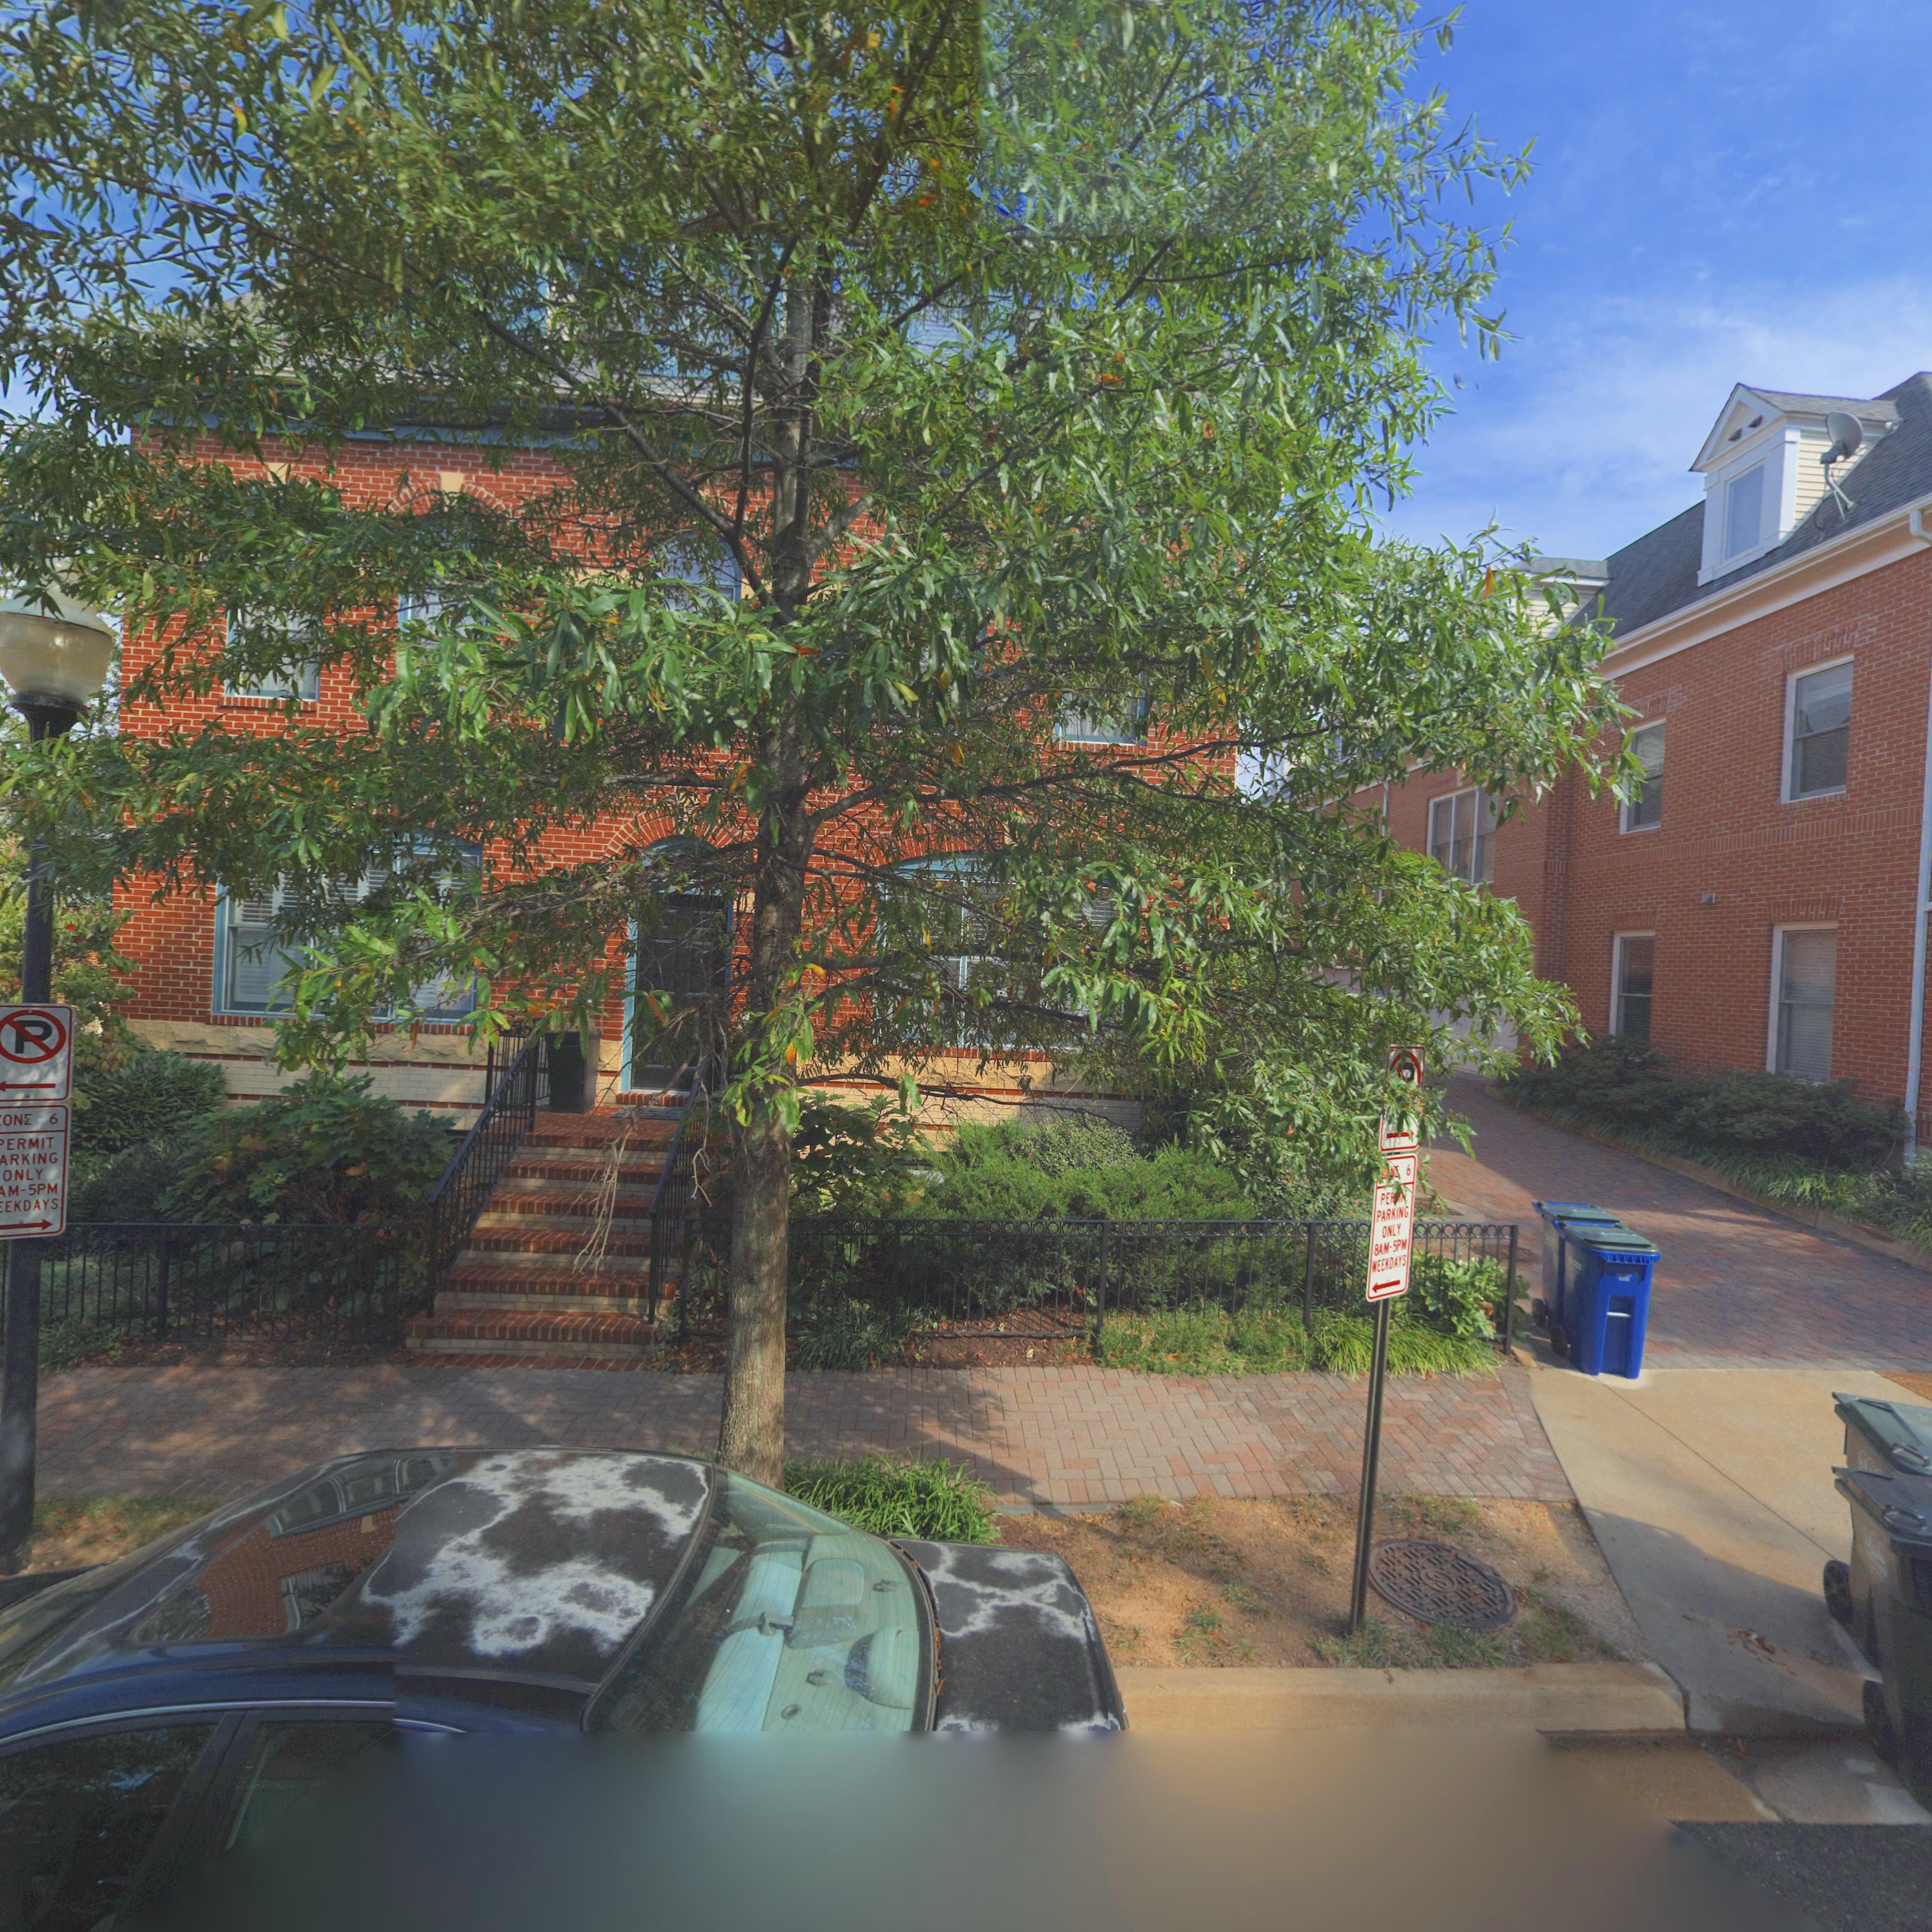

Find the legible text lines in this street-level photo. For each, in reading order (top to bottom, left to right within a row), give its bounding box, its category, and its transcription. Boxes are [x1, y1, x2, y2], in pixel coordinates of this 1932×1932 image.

[1, 1111, 60, 1128] None: ON* 6
[6, 1135, 55, 1151] None: ERMIT
[9, 1150, 59, 1167] None: RKING
[1, 1166, 45, 1183] None: ONLY
[1404, 1161, 1412, 1178] None: 6
[7, 1181, 58, 1198] None: M-5PM
[4, 1196, 60, 1214] None: EKDAYS
[1379, 1190, 1391, 1207] None: PE
[1375, 1204, 1410, 1224] None: PARKING
[1381, 1221, 1403, 1239] None: ONLY
[1372, 1236, 1409, 1258] None: 8AM-5PM
[1369, 1252, 1408, 1275] None: *EEKDAYS